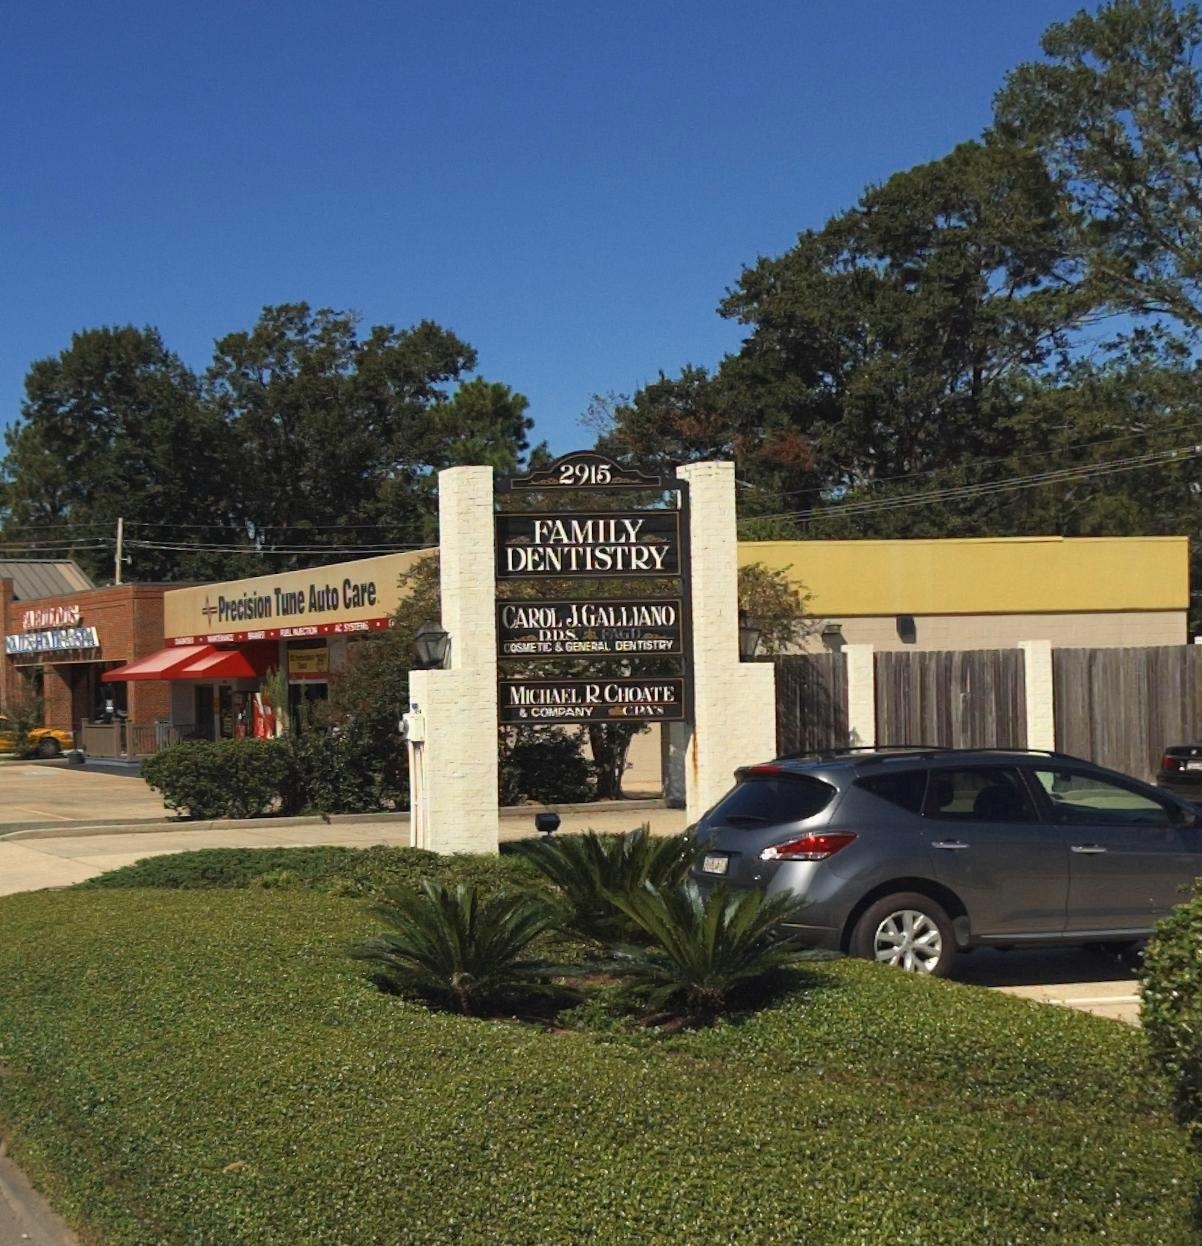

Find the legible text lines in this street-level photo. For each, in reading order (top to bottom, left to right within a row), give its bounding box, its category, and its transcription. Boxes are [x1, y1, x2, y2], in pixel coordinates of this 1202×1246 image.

[555, 459, 616, 487] StreetNumber: 2915
[529, 513, 646, 546] BusinessName: FAMILY
[503, 543, 674, 575] BusinessName: DENTISTY
[215, 575, 379, 626] BusinessName: Precision Tune Auto Care
[500, 602, 679, 631] BusinessName: CAROL J. GALLANO
[537, 626, 581, 644] None: D.D.S.
[501, 637, 675, 656] None: COSMETIC & GENERAL DENTISTRY
[508, 682, 677, 706] BusinessName: MICHAEL R. CHOATE
[529, 704, 597, 720] BusinessName: COMPANY
[619, 702, 668, 719] None: CP*'S